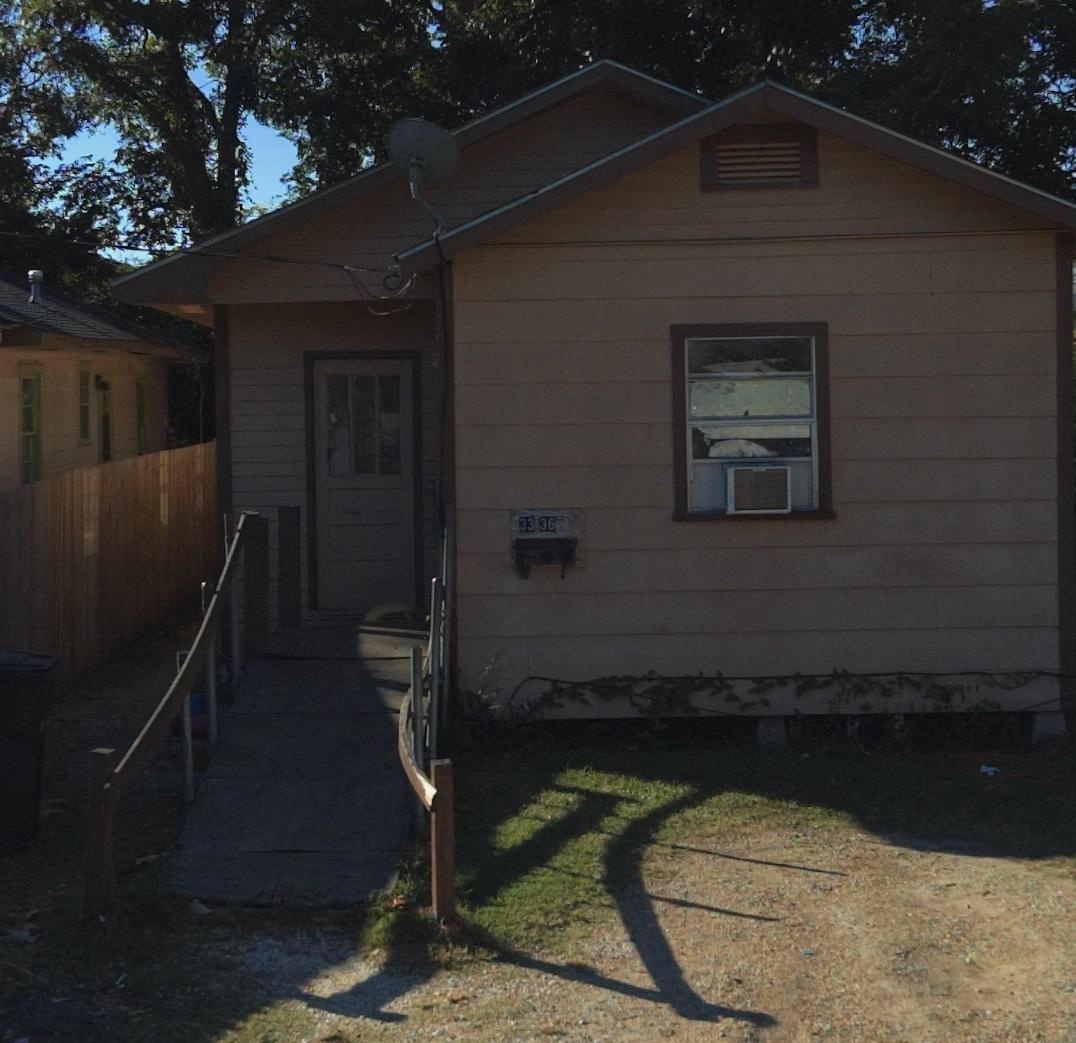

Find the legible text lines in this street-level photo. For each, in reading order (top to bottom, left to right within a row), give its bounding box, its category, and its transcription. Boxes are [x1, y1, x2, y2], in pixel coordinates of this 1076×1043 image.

[518, 516, 556, 532] StreetNumber: 3336